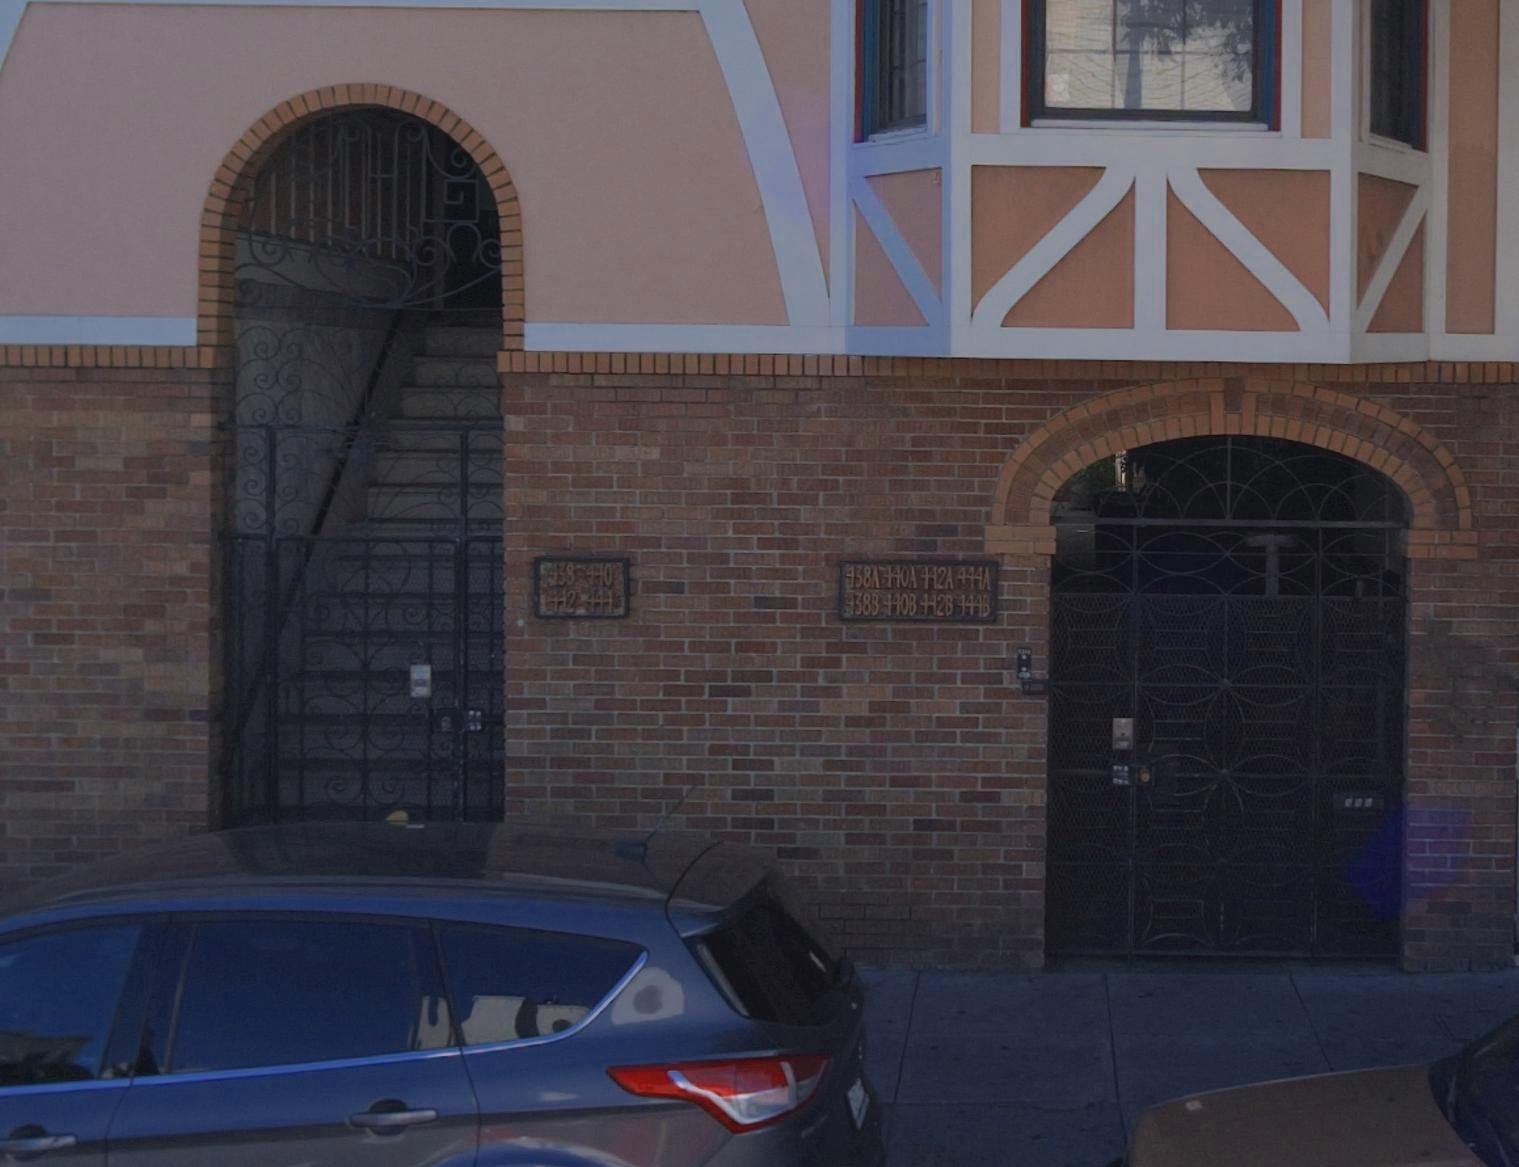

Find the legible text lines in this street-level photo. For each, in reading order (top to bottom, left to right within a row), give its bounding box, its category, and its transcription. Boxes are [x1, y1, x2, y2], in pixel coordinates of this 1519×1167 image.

[548, 561, 577, 587] StreetNumber: 438
[584, 563, 614, 586] StreetNumber: 440
[844, 564, 881, 590] StreetNumber: 438A
[882, 564, 917, 589] StreetNumber: 440A
[919, 565, 954, 590] StreetNumber: 442A
[956, 566, 991, 591] StreetNumber: 444A
[545, 587, 577, 614] StreetNumber: 442
[582, 587, 614, 614] StreetNumber: 444
[844, 591, 880, 616] StreetNumber: 438B
[882, 592, 917, 616] StreetNumber: 440B
[918, 592, 955, 617] StreetNumber: 442B
[955, 593, 992, 617] StreetNumber: 444B